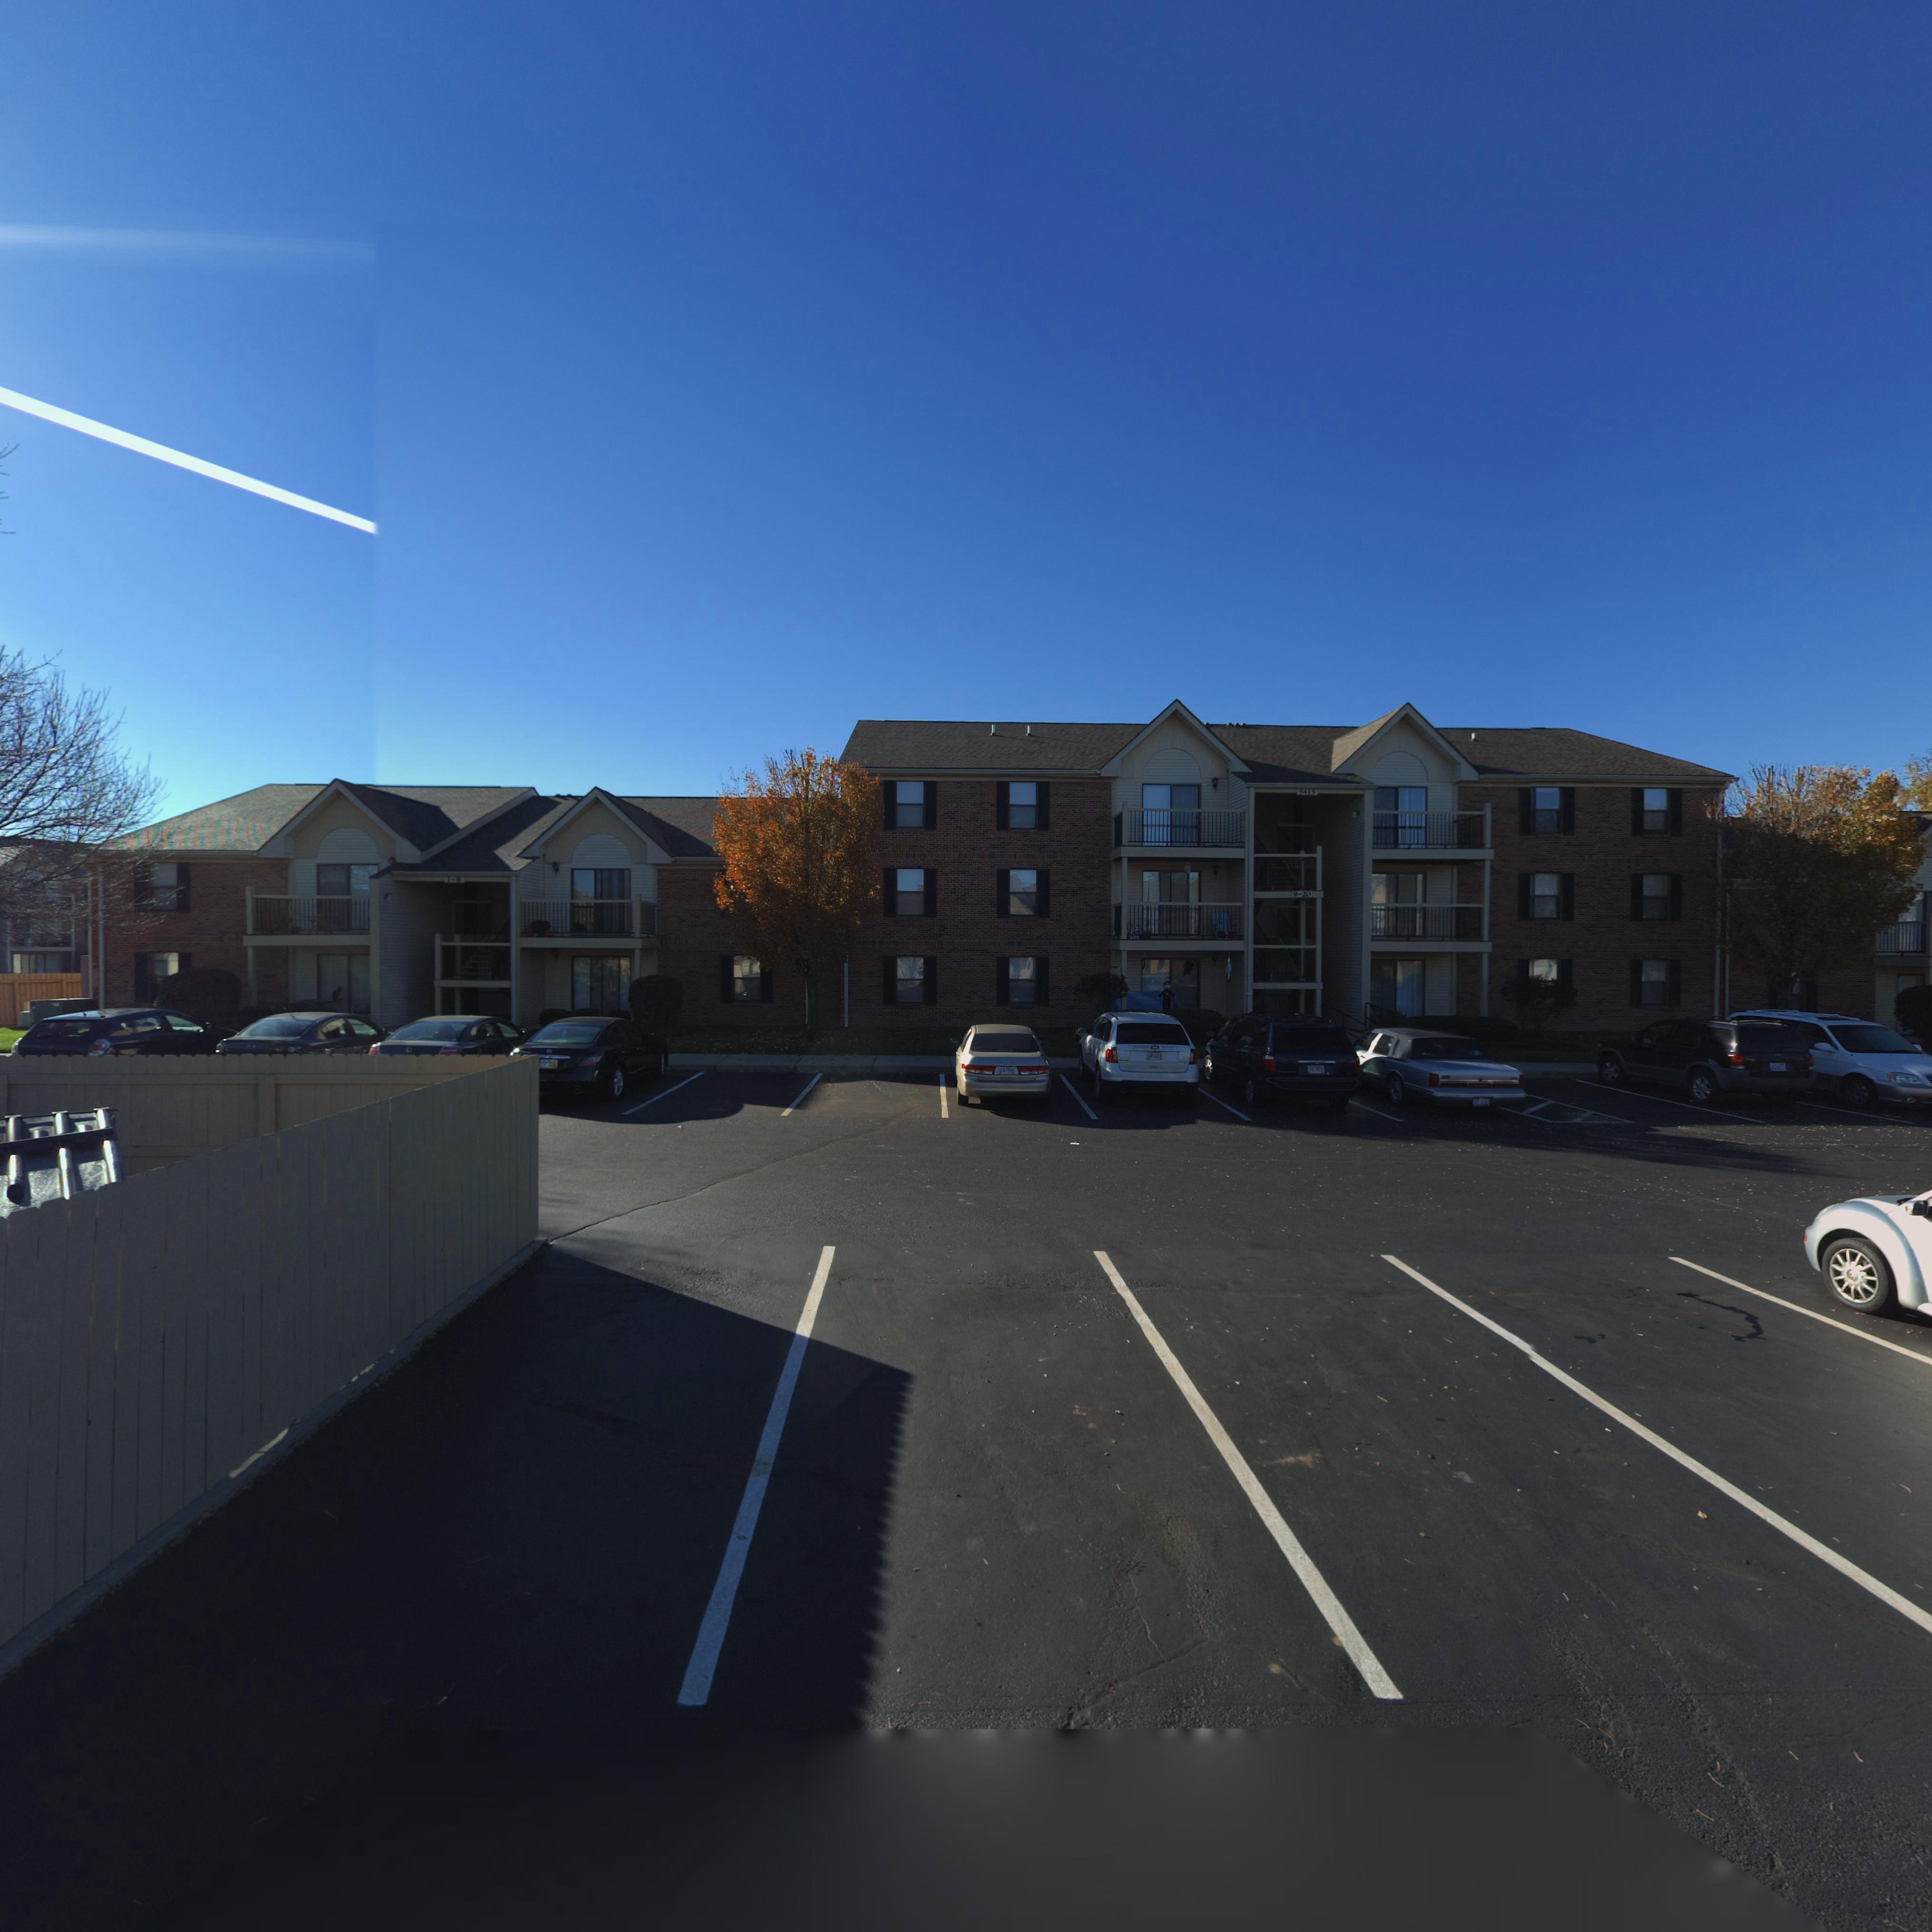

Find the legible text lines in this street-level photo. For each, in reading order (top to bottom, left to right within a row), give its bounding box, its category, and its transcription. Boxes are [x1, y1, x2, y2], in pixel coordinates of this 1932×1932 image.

[1298, 789, 1316, 795] StreetNumber: 5415
[446, 876, 462, 882] StreetNumber: 1-8
[1292, 890, 1311, 897] StreetNumber: 9-20